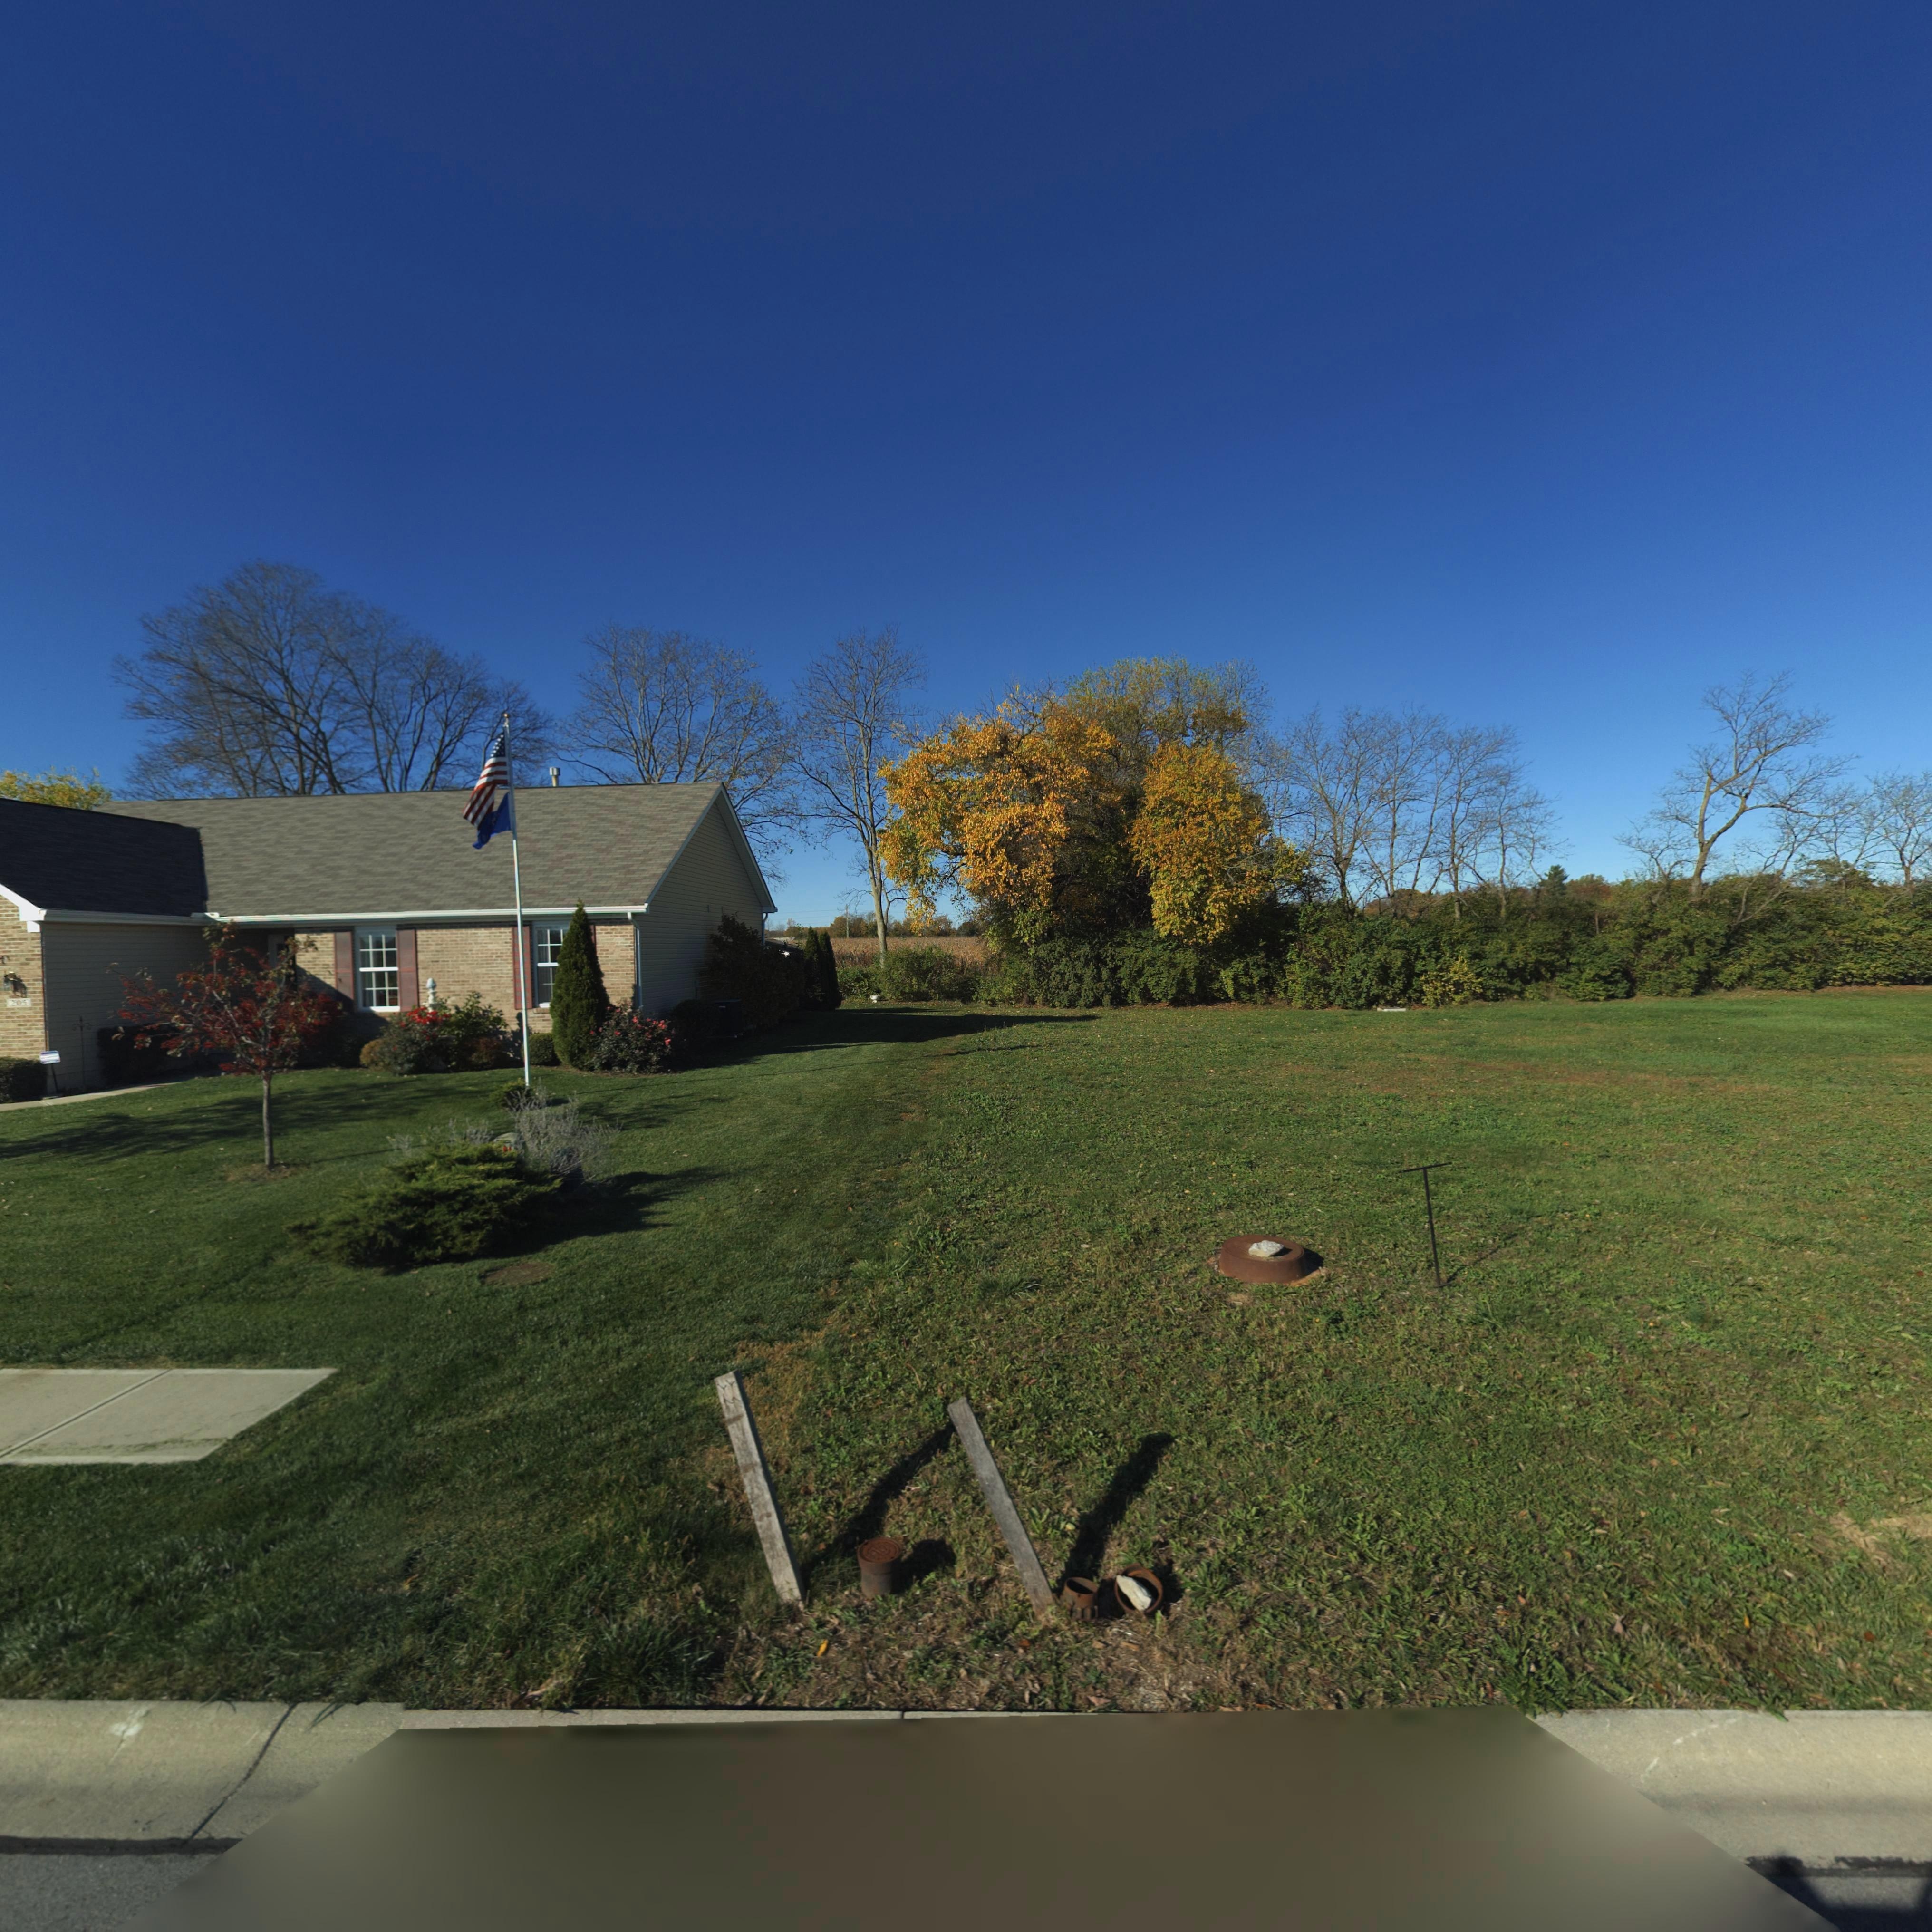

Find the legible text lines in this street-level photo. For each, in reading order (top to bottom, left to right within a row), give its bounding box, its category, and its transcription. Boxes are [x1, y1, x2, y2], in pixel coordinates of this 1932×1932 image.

[10, 999, 27, 1006] StreetNumber: 20*